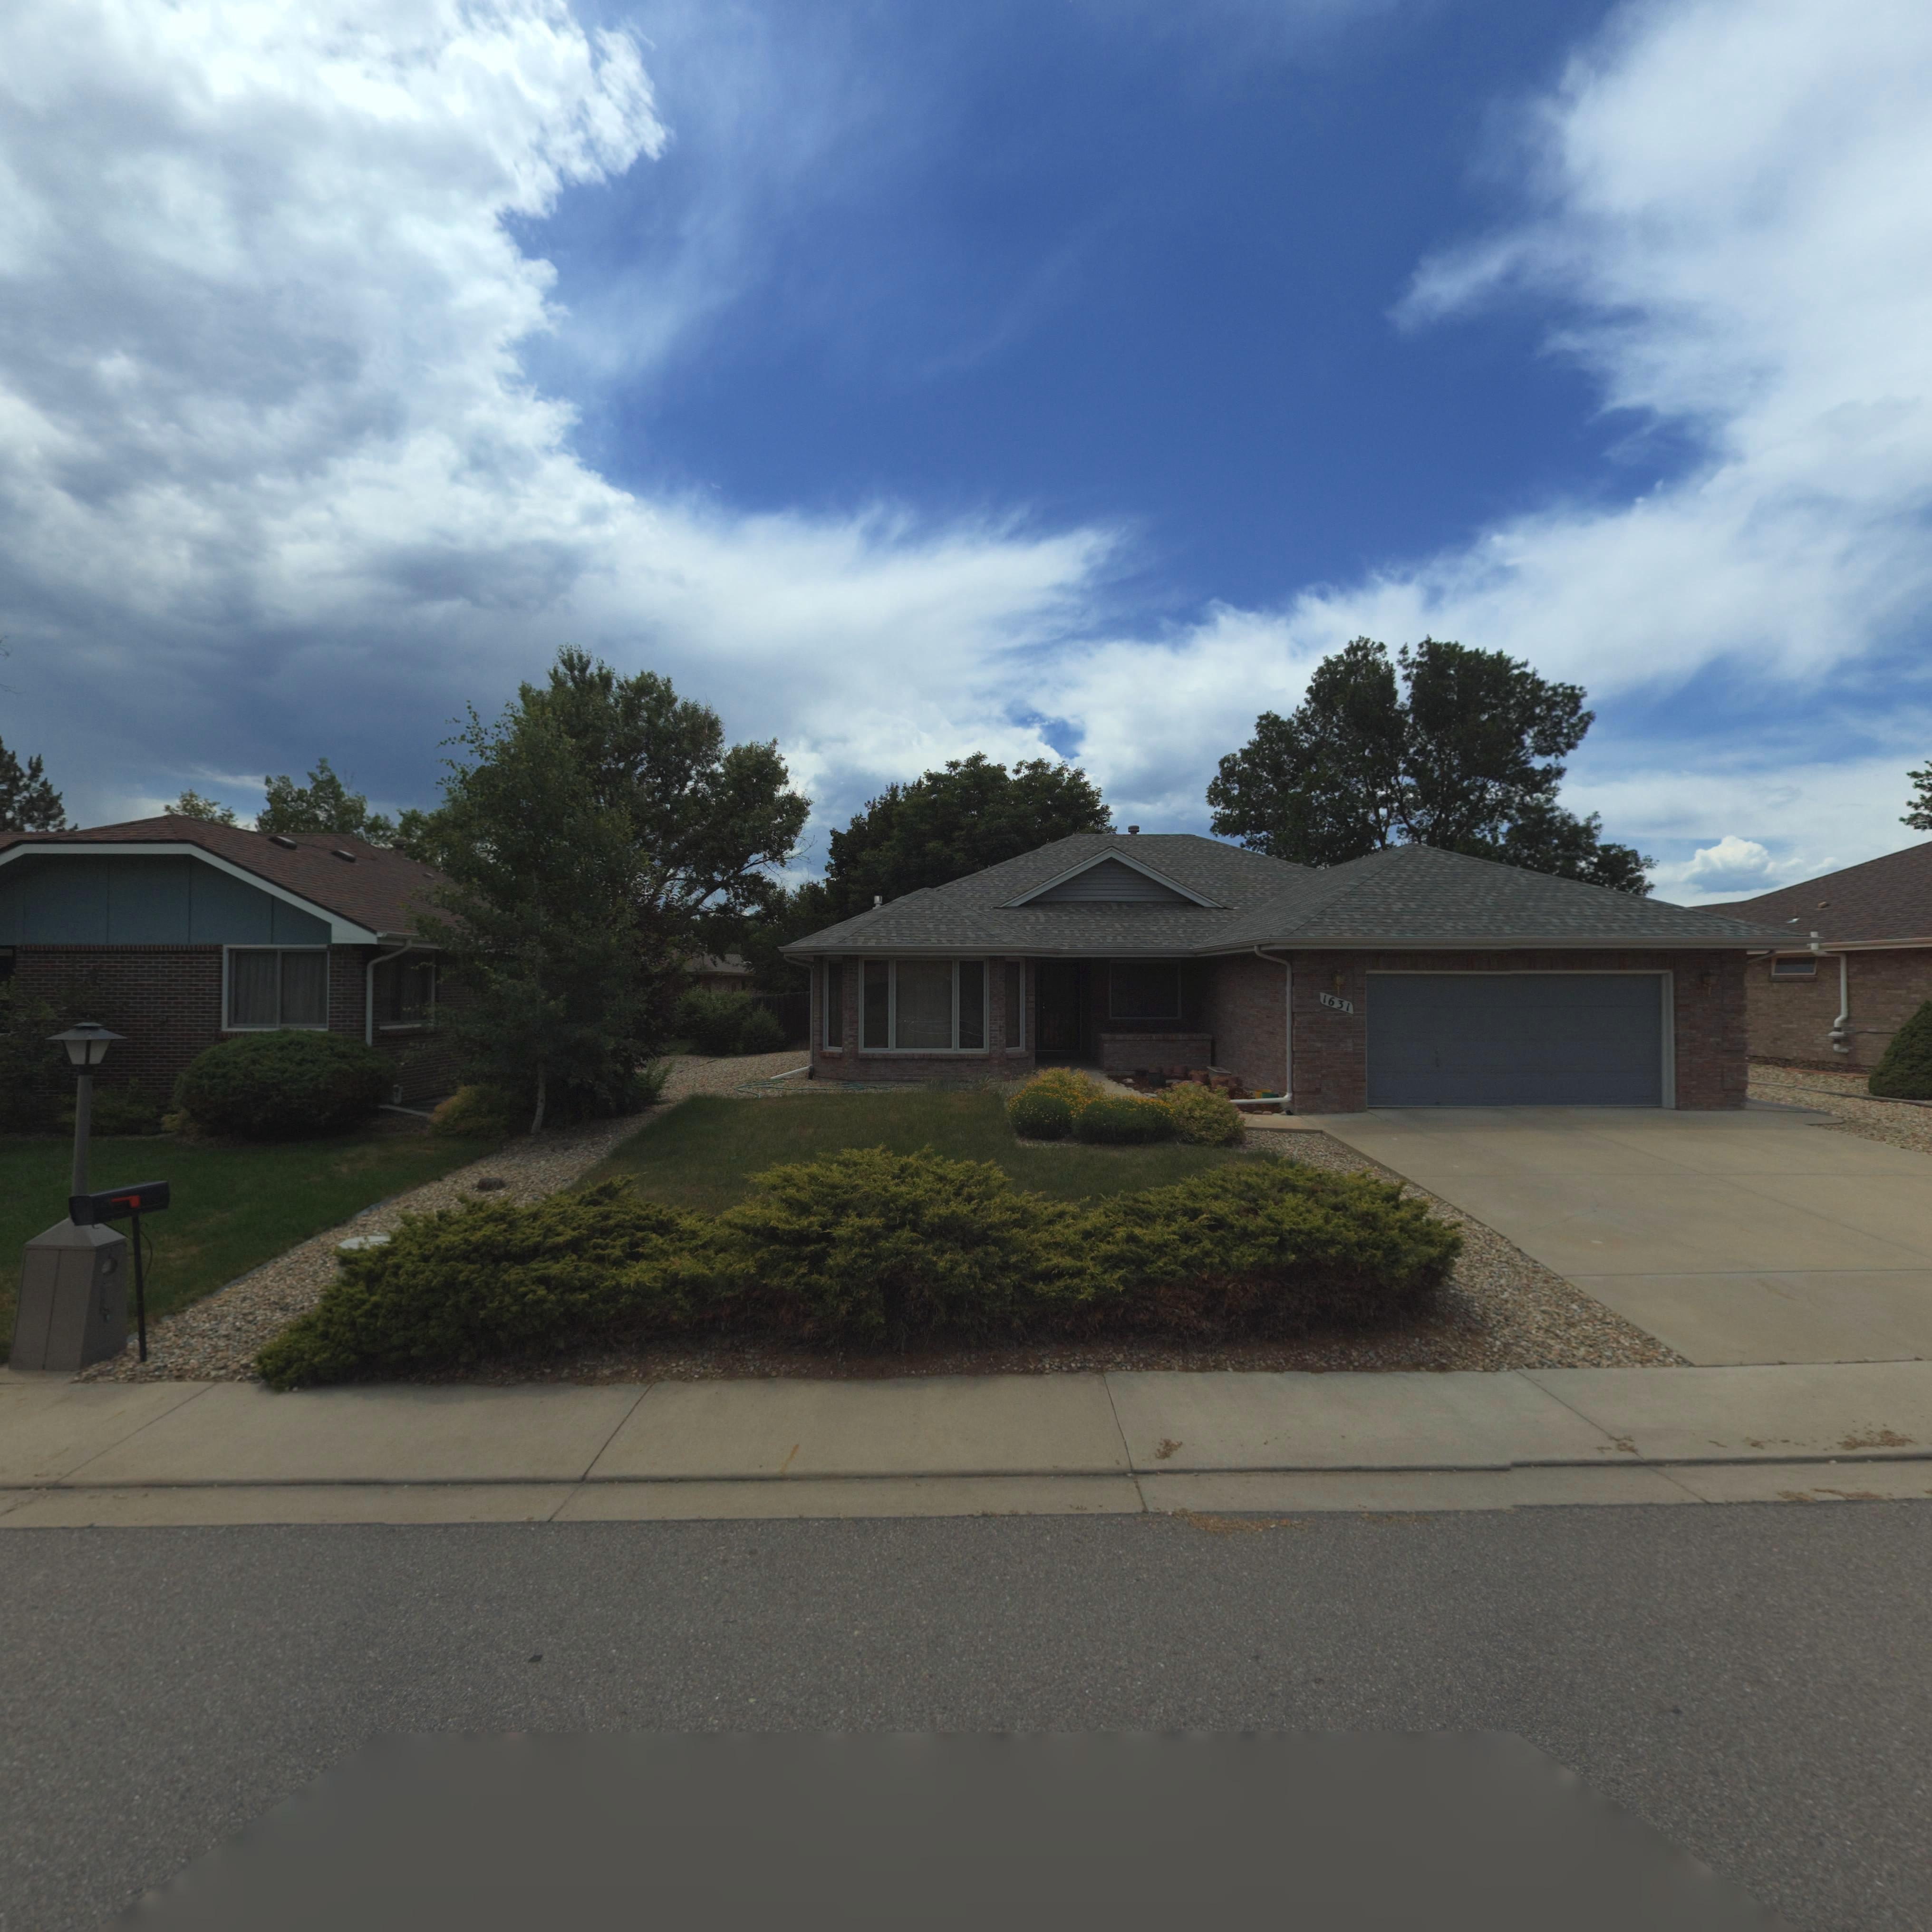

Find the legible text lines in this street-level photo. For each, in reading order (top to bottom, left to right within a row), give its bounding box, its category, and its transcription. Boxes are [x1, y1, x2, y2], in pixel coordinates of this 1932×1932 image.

[1322, 993, 1350, 1012] StreetNumber: 1631